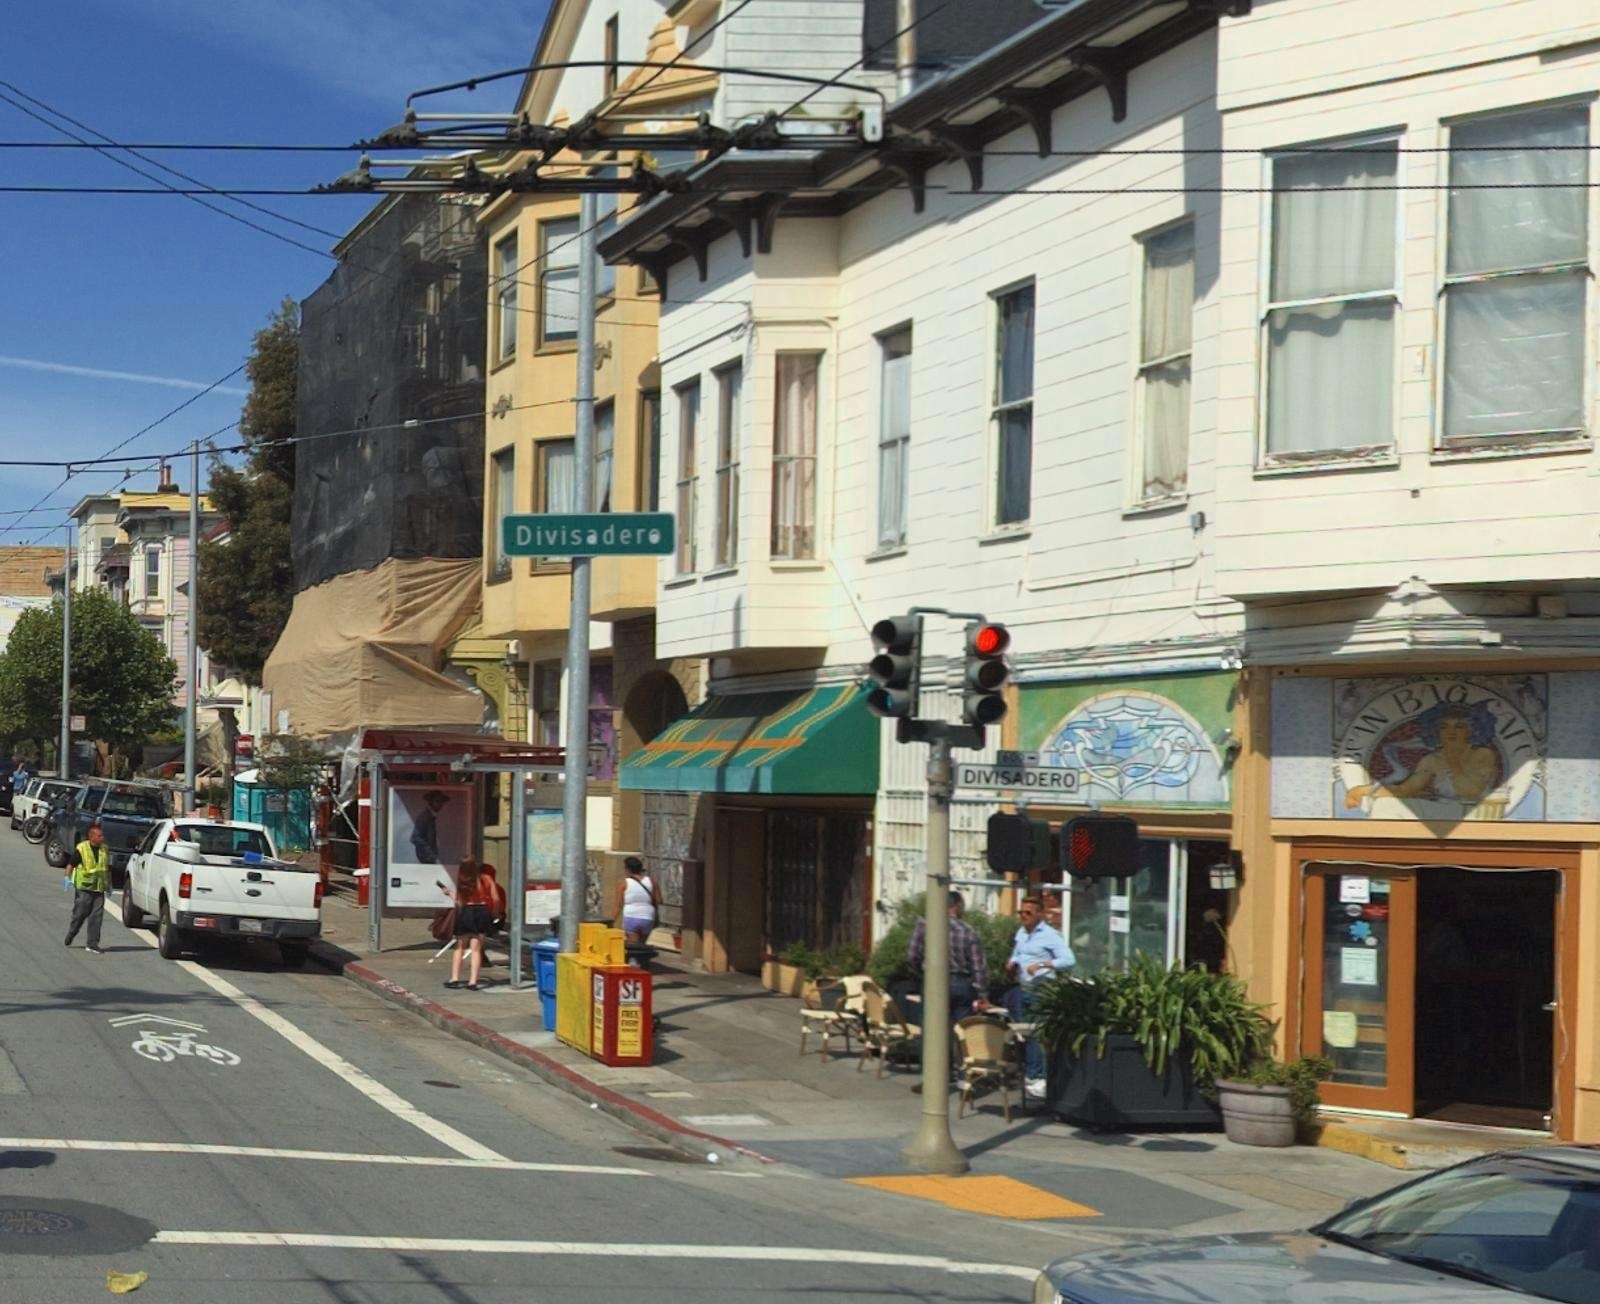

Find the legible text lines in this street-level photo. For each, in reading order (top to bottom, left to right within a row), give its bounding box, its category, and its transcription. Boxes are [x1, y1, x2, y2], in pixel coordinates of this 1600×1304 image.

[513, 522, 664, 548] StreetName: Divisadero
[1336, 677, 1541, 769] BusinessName: BEAN BAO CAFE
[996, 750, 1040, 768] None: 600->
[964, 766, 1075, 788] StreetName: DIVISADERO
[619, 977, 643, 1001] None: SF